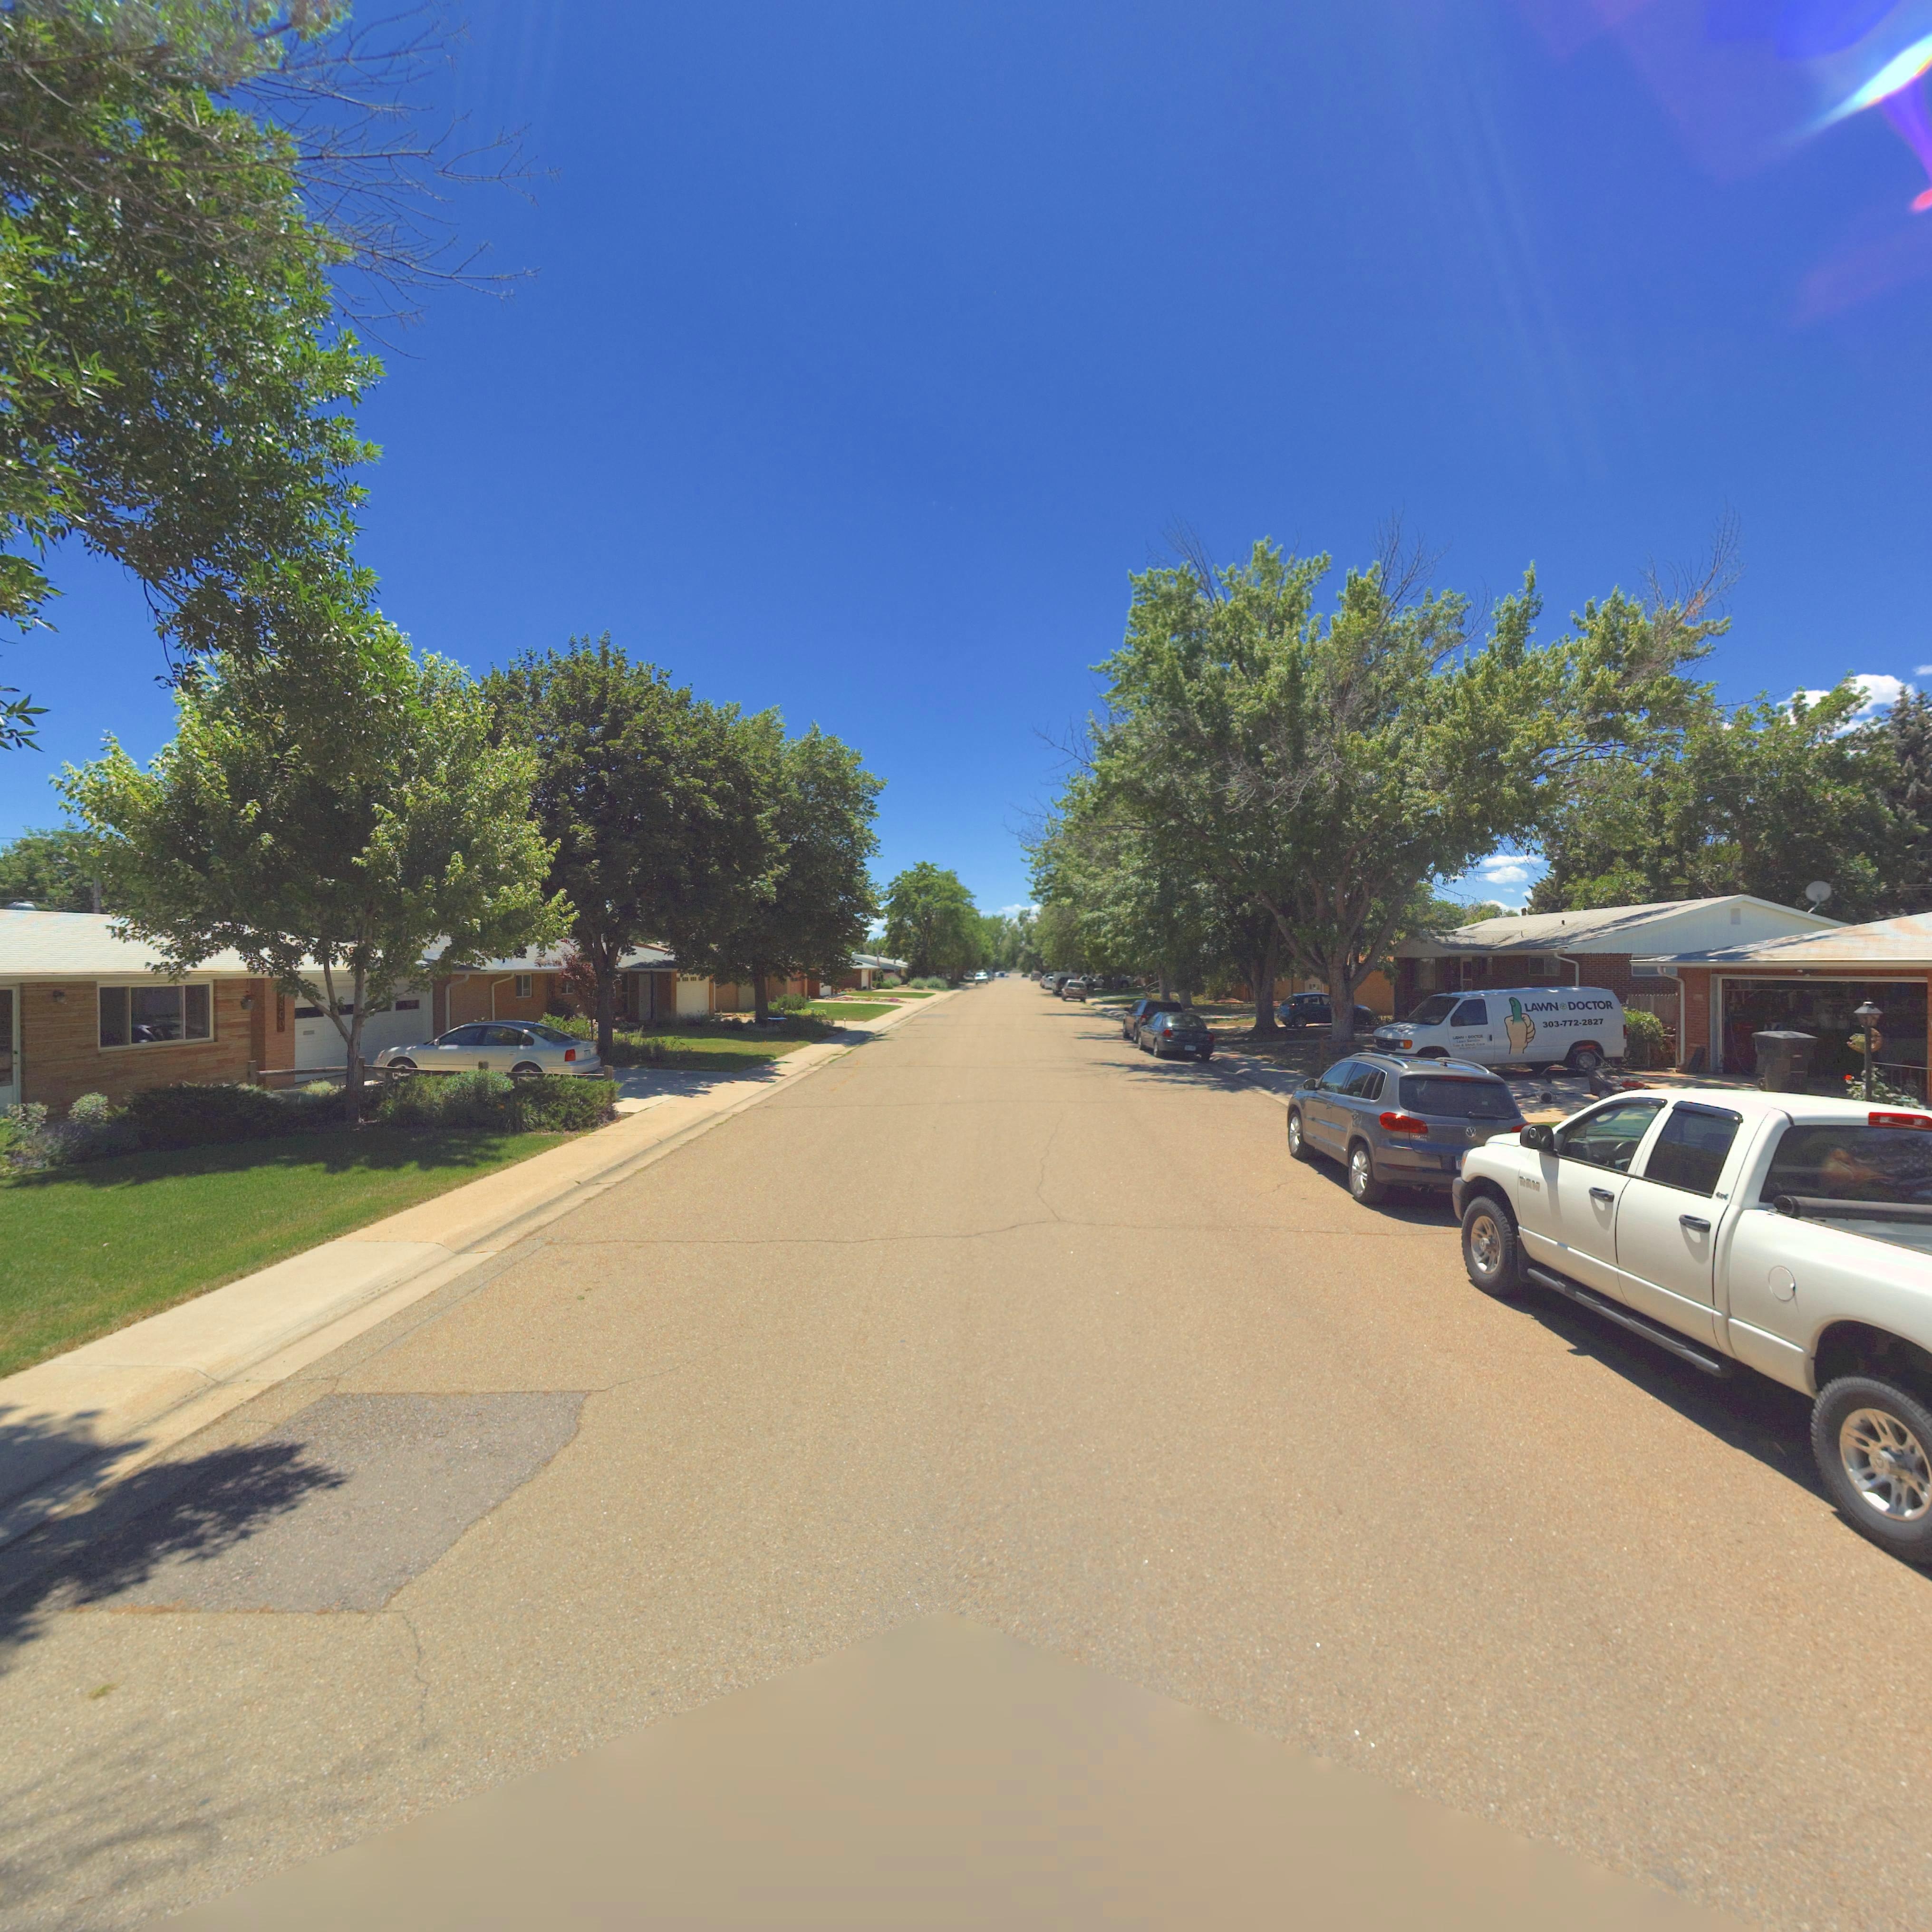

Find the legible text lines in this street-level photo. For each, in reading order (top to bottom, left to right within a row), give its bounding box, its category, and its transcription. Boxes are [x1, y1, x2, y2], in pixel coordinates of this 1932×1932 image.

[278, 1000, 284, 1028] StreetNumber: 800